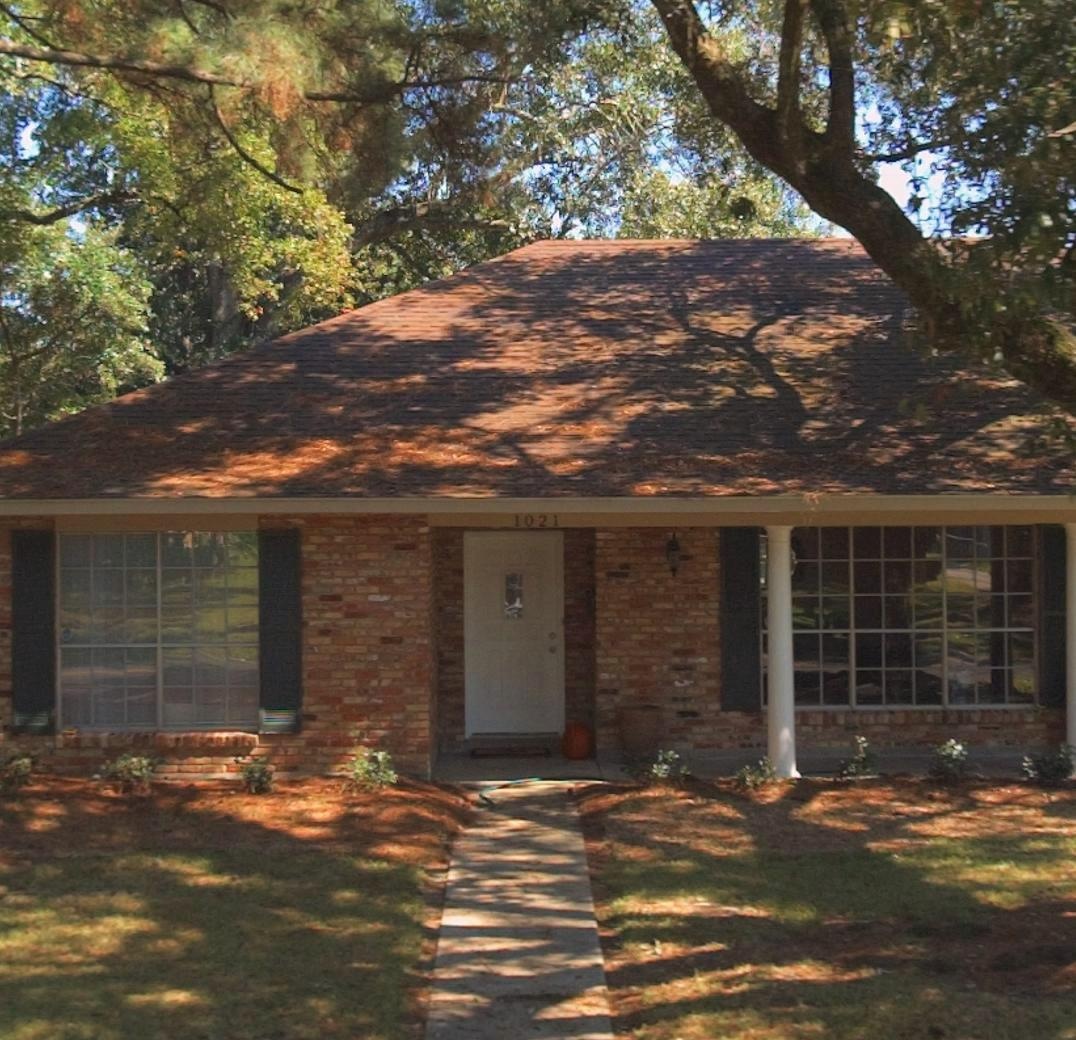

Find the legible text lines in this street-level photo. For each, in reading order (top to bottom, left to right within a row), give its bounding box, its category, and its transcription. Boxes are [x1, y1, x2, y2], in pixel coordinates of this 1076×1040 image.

[511, 511, 562, 531] StreetNumber: 1021